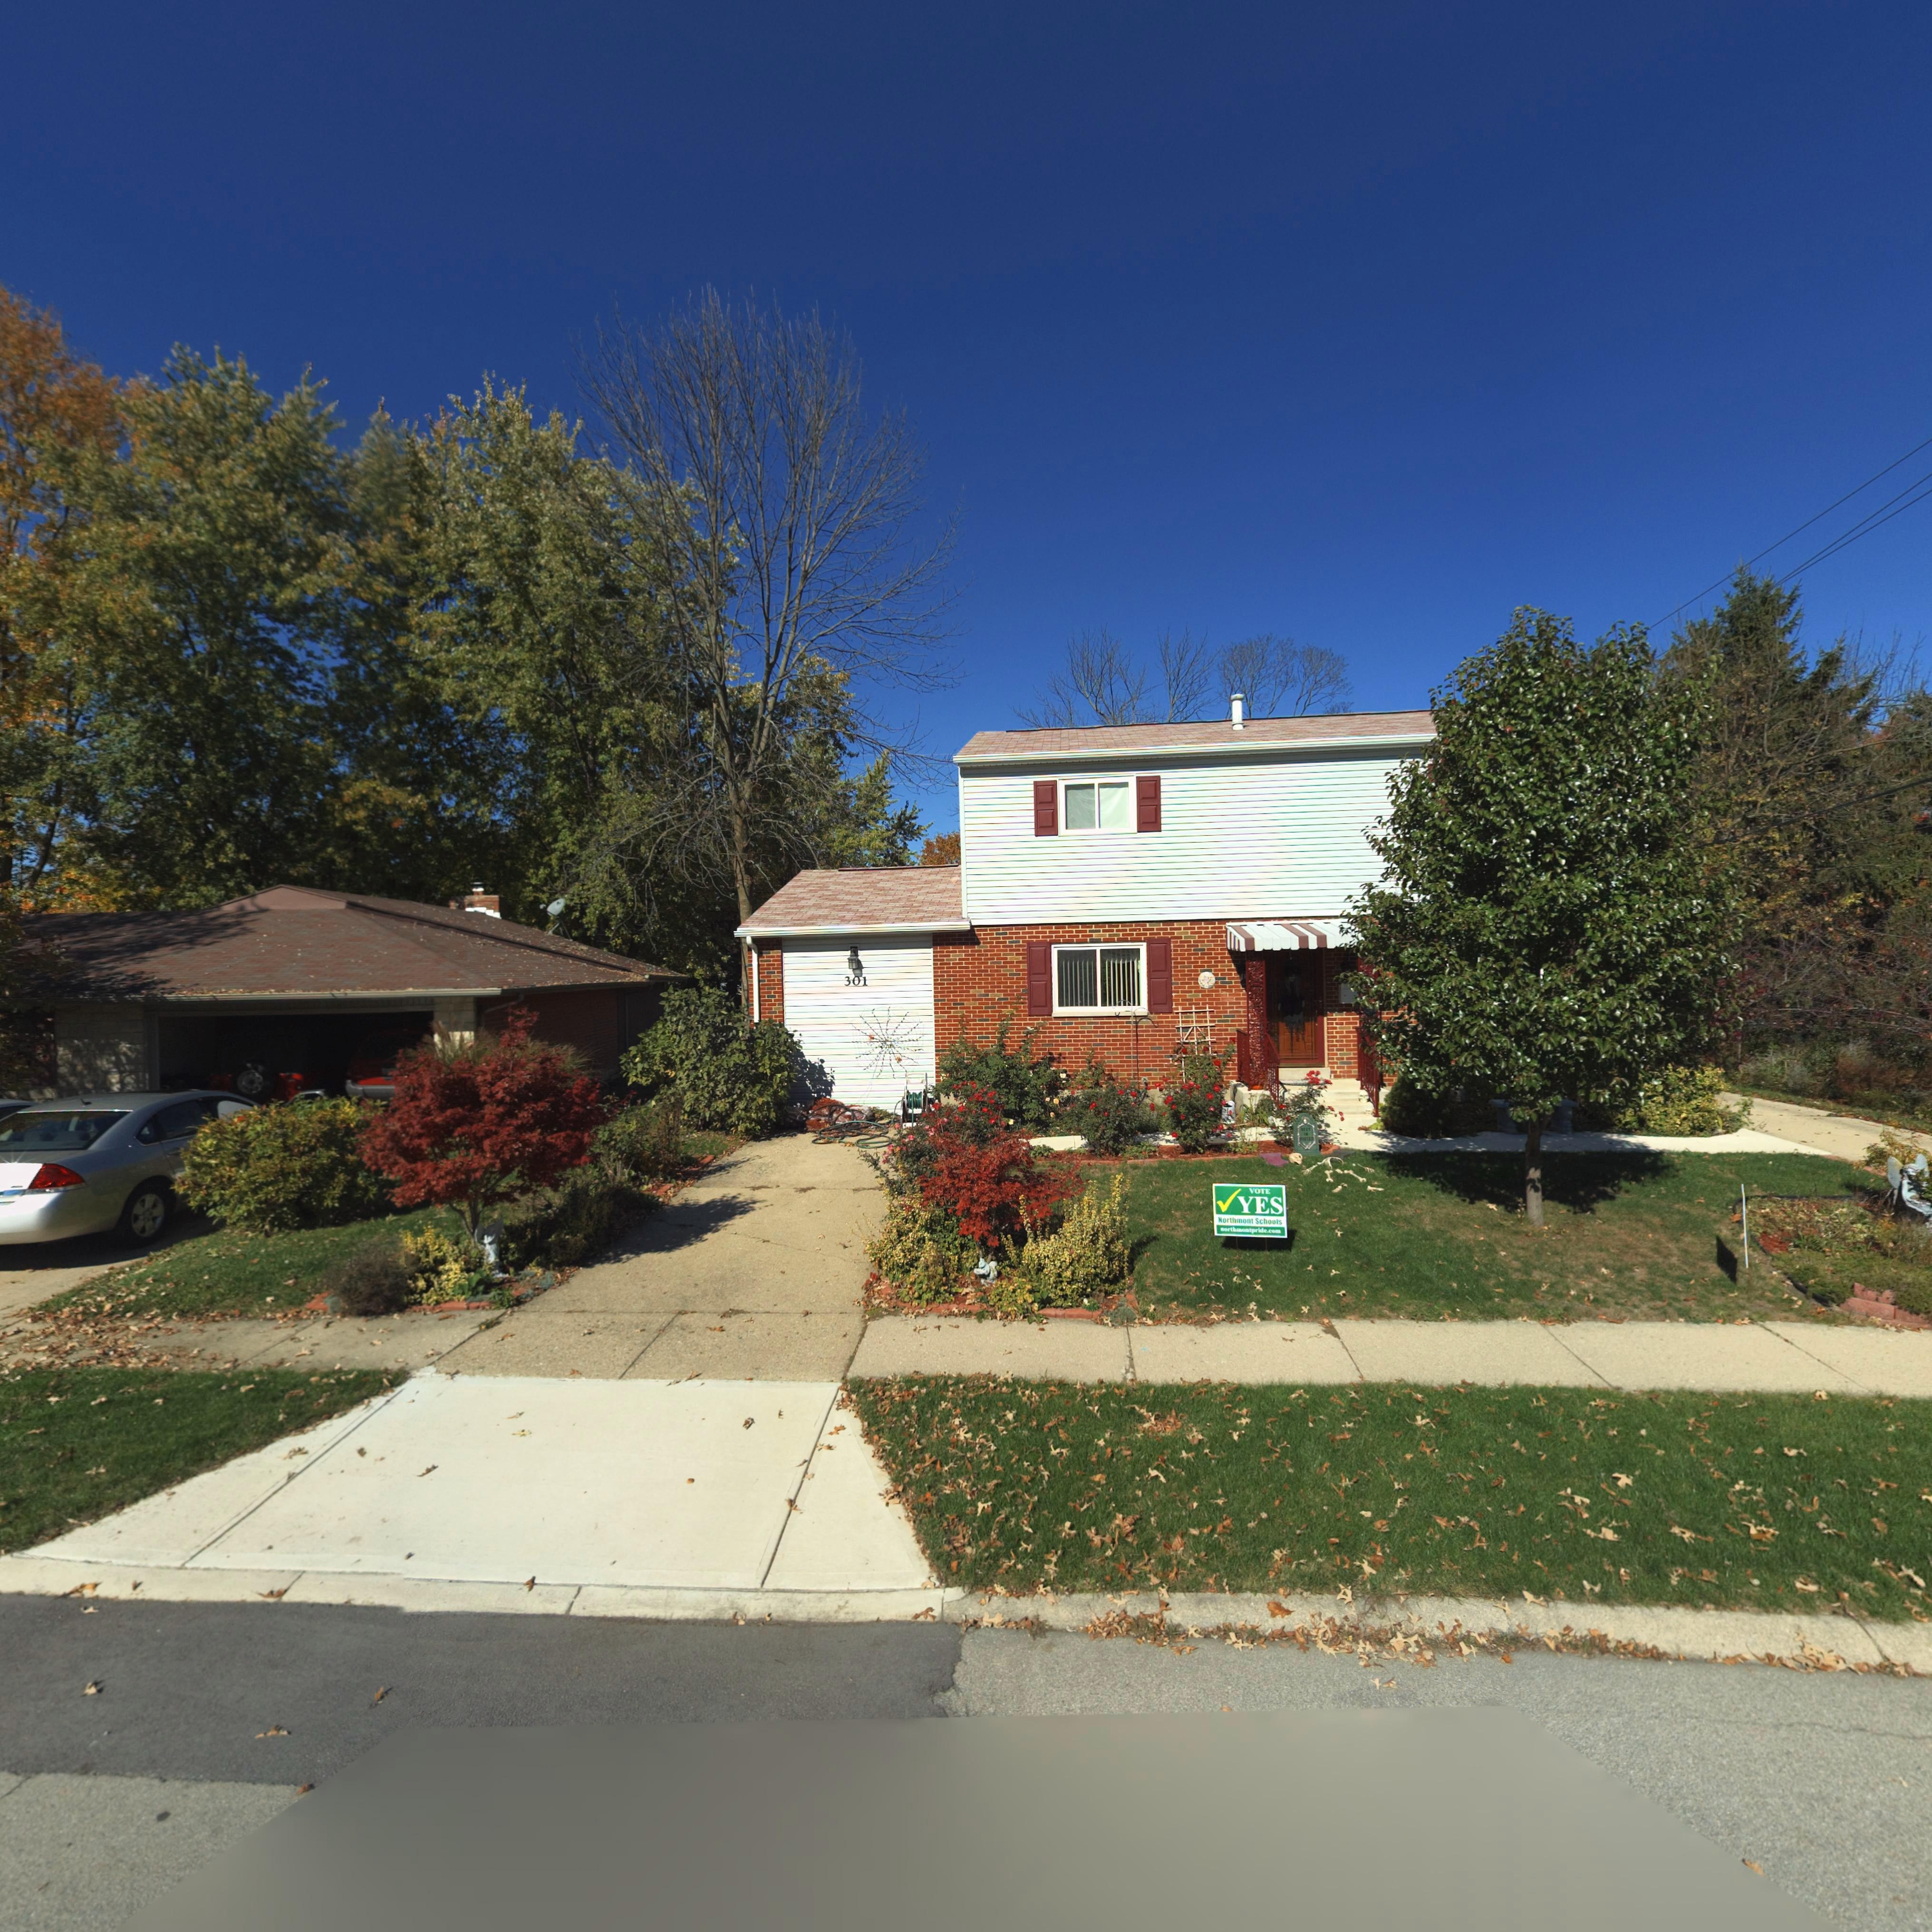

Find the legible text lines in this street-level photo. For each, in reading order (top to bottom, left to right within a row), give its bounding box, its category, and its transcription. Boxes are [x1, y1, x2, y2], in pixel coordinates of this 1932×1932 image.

[843, 976, 868, 986] StreetNumber: 301